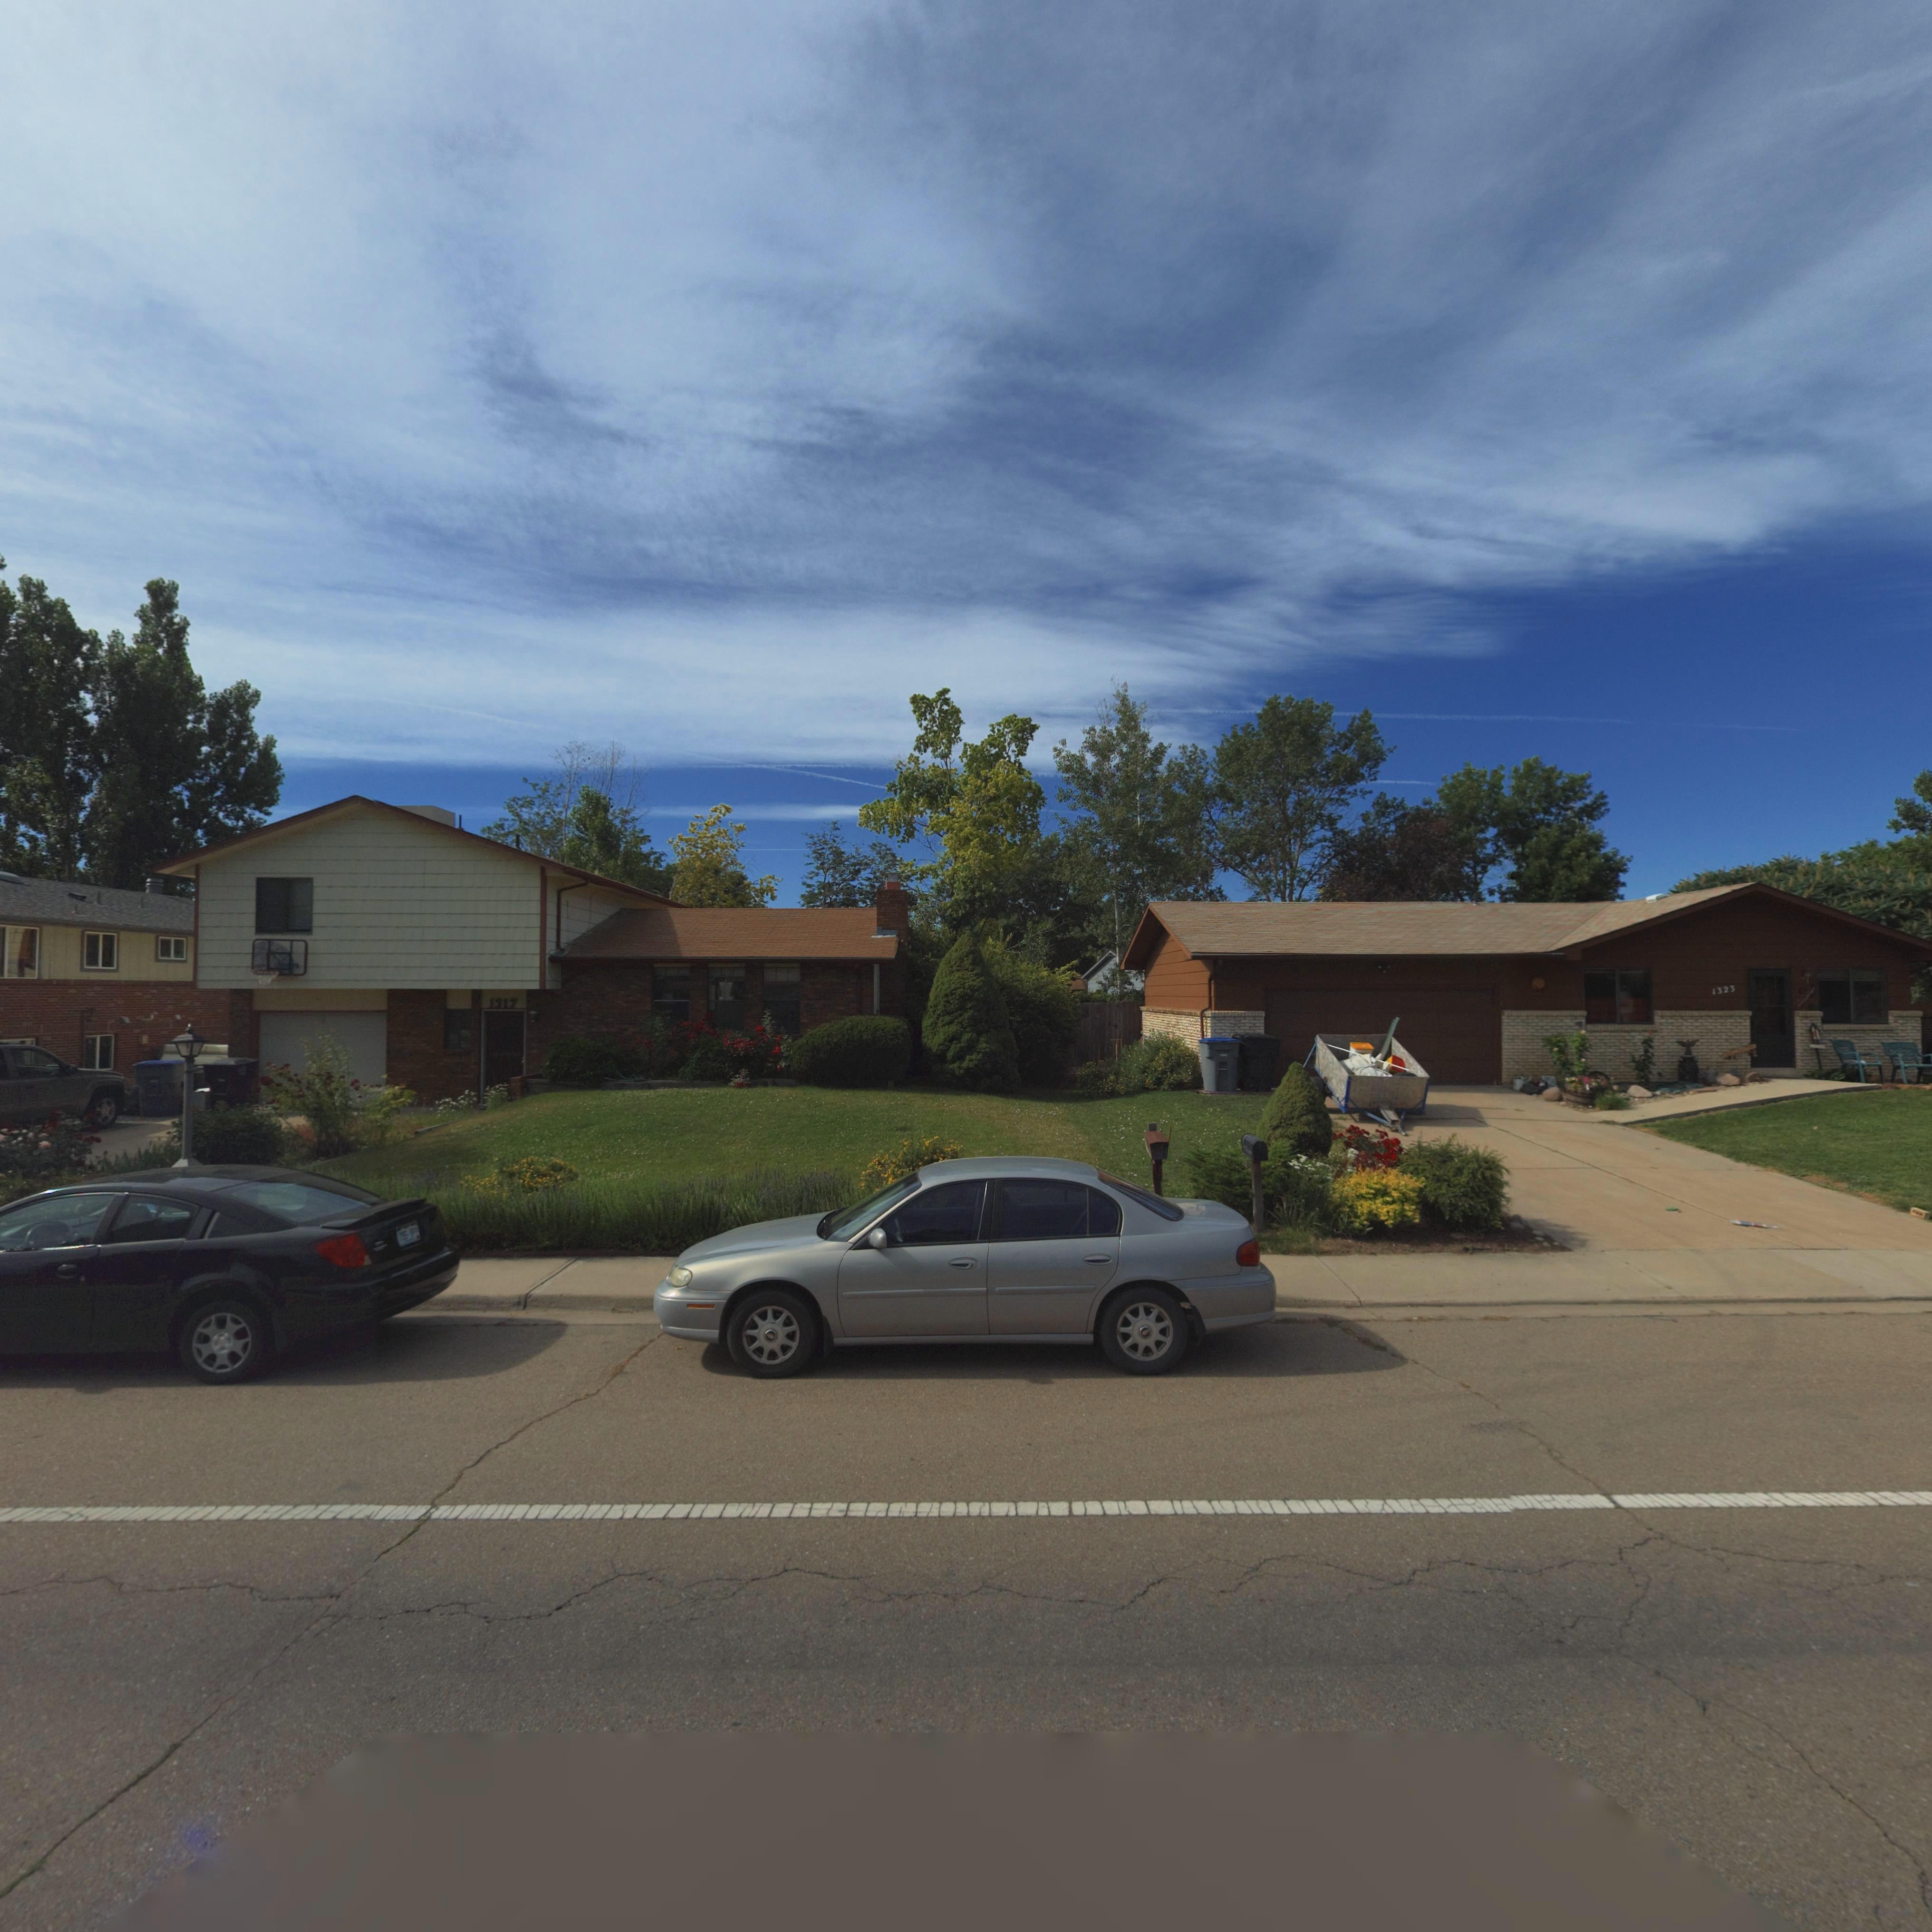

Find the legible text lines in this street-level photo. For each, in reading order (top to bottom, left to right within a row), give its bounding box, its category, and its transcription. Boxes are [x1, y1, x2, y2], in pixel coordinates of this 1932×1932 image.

[1711, 985, 1735, 995] StreetNumber: 1323
[488, 996, 519, 1009] StreetNumber: 1317